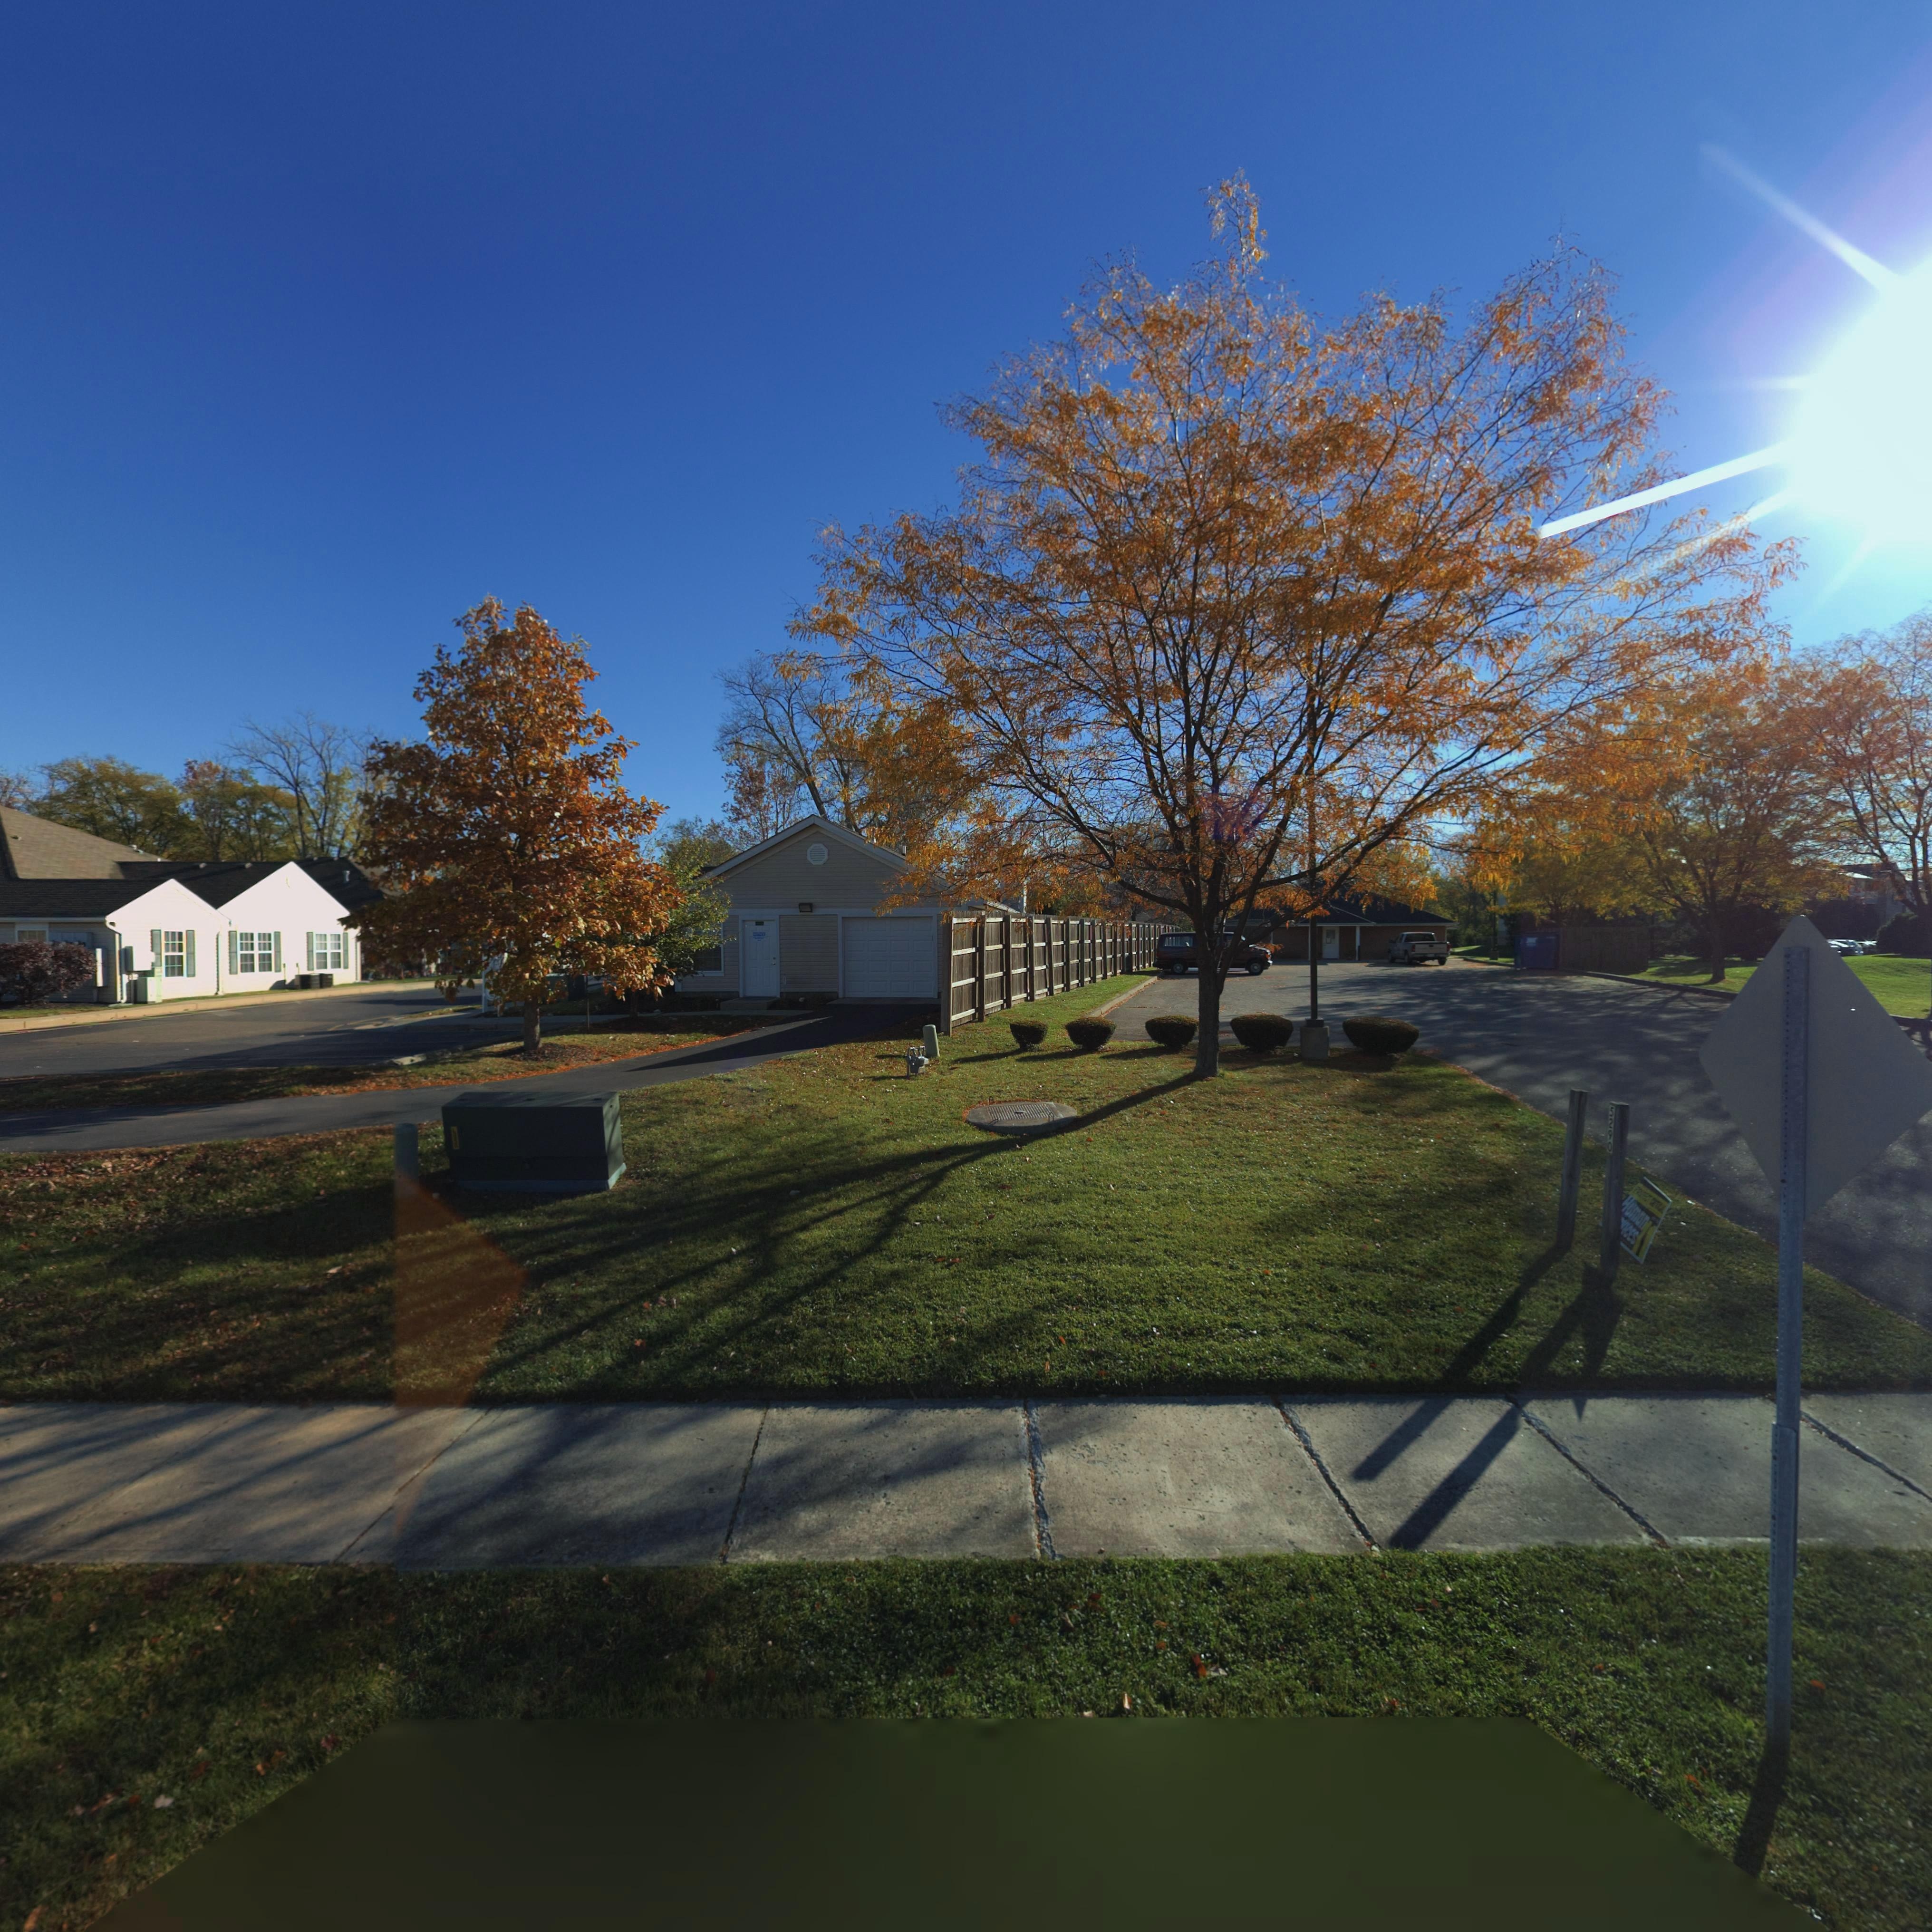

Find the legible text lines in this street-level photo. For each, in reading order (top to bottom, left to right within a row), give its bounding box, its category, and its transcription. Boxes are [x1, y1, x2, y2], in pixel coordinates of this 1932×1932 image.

[1605, 1104, 1616, 1155] StreetNumber: 5209